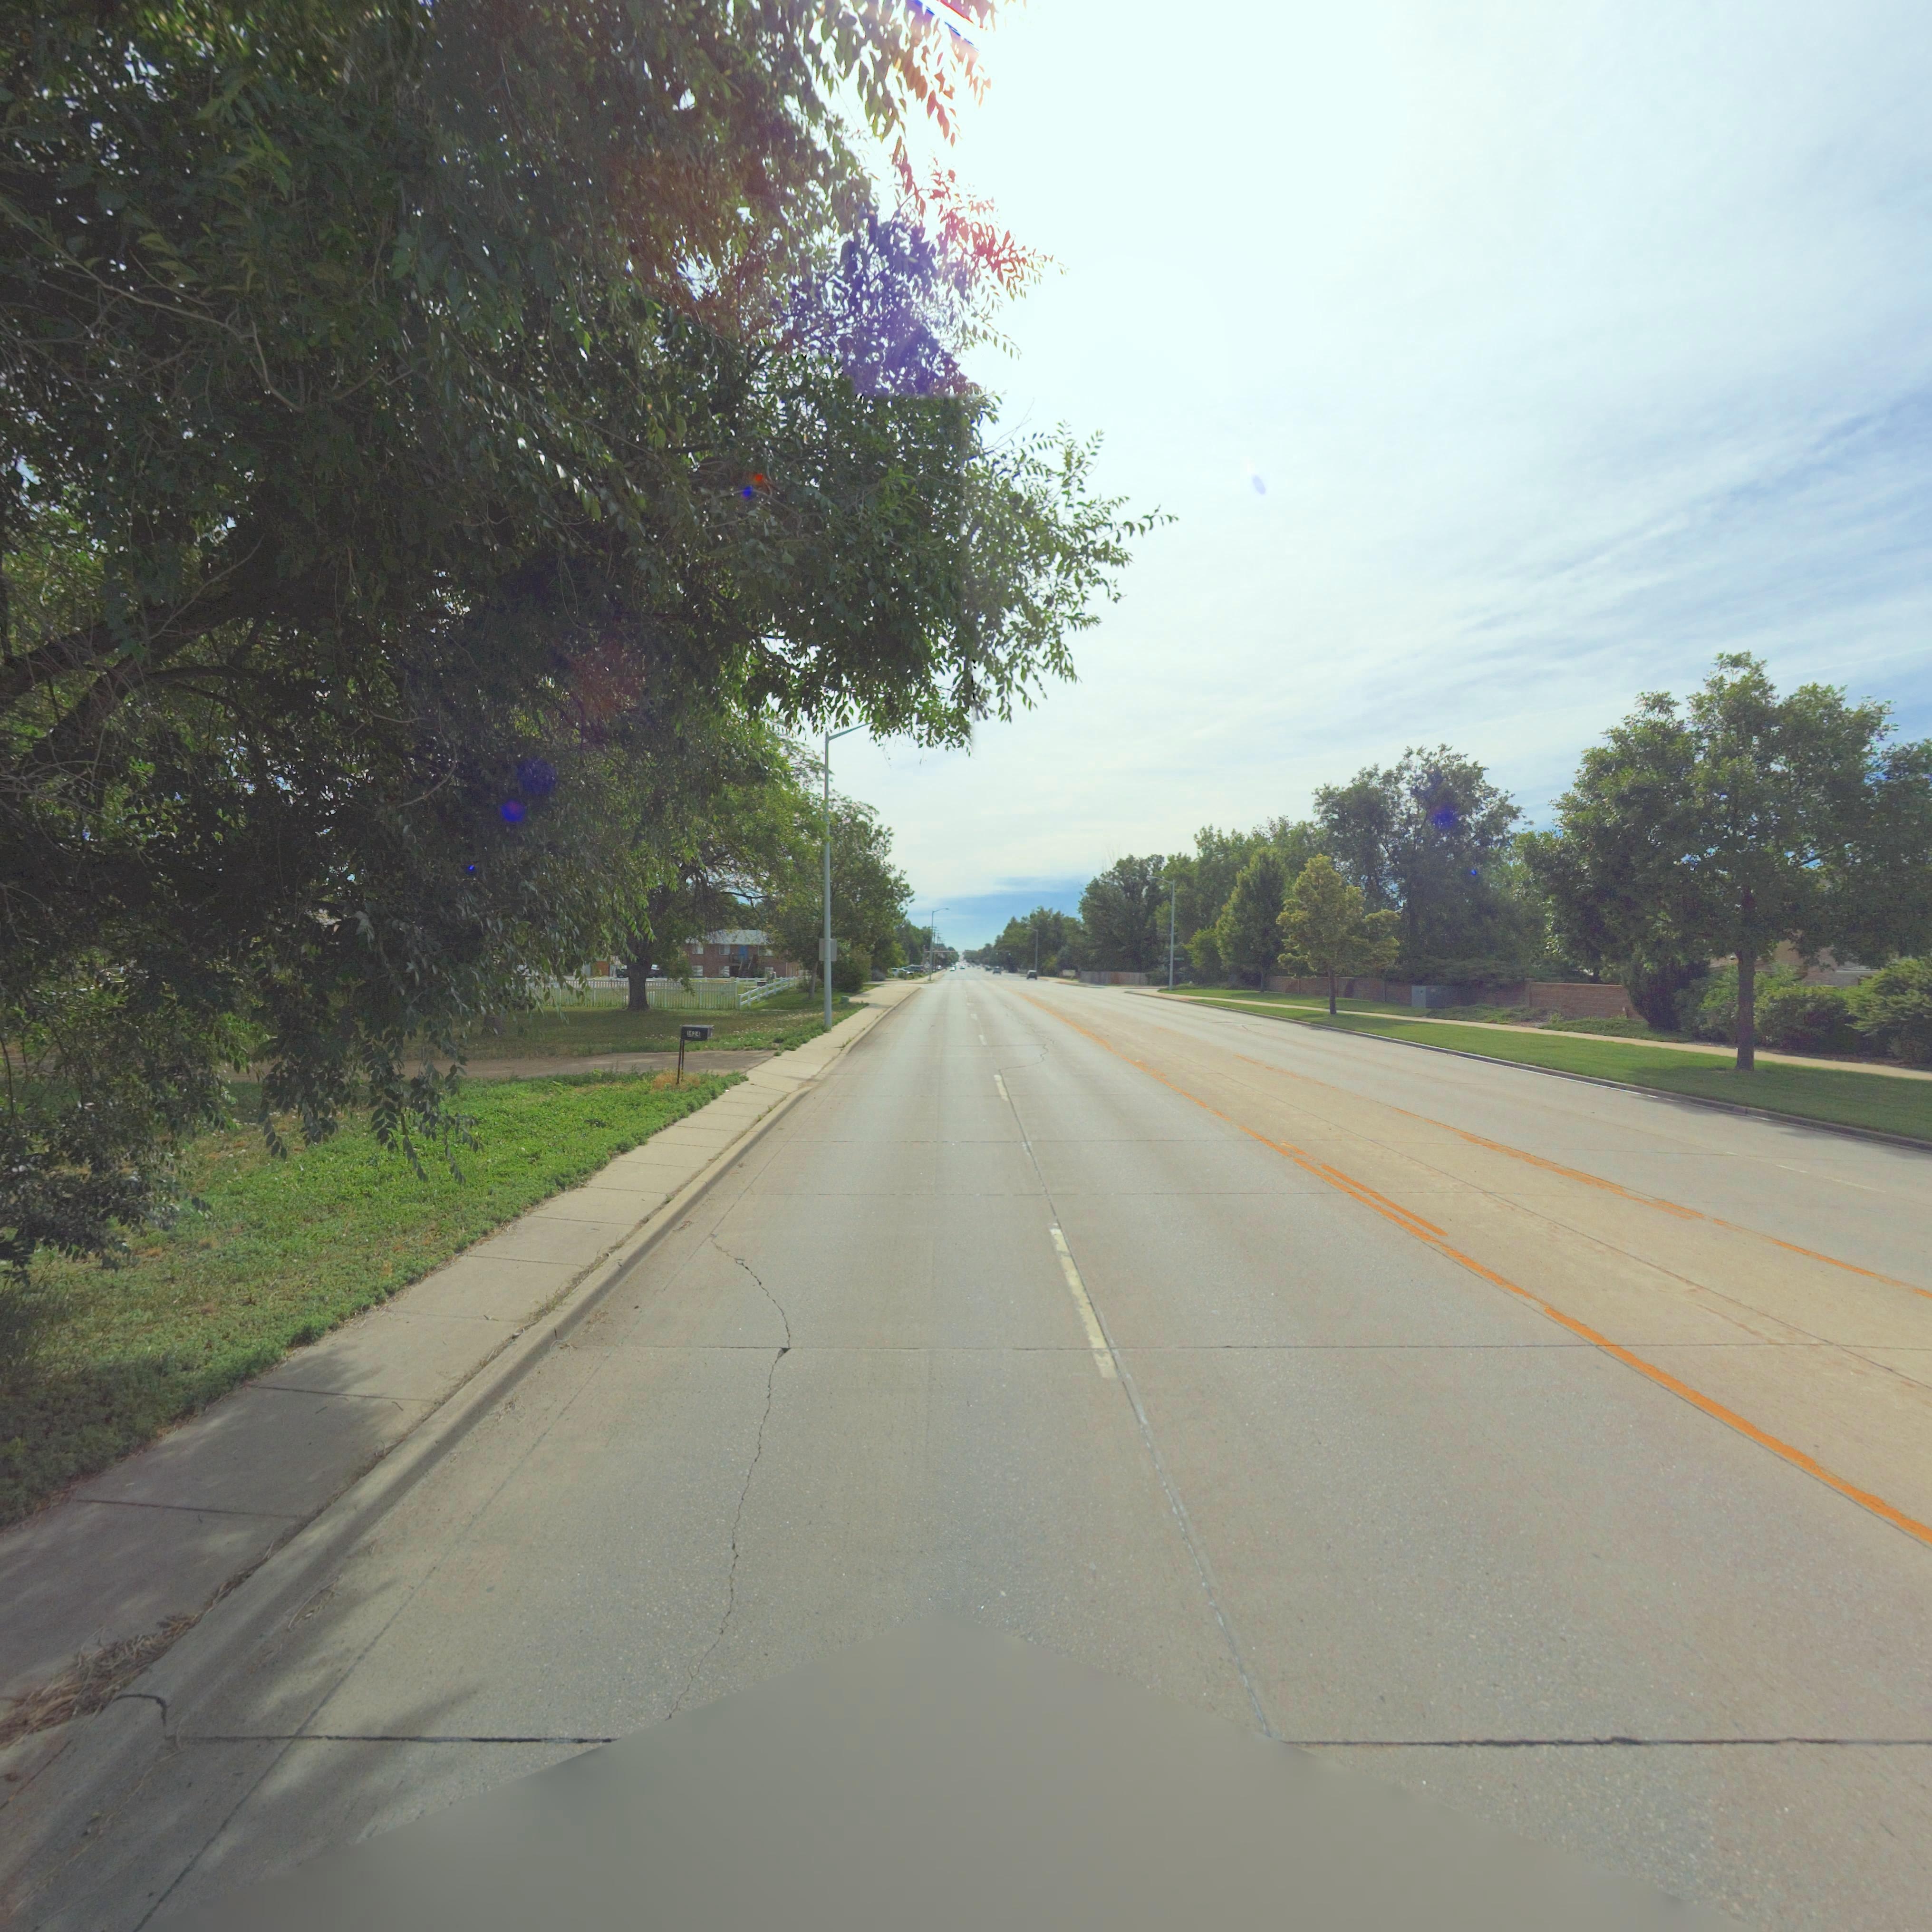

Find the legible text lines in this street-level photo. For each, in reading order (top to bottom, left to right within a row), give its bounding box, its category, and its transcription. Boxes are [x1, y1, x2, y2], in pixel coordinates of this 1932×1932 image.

[687, 1031, 700, 1036] StreetNumber: 1424